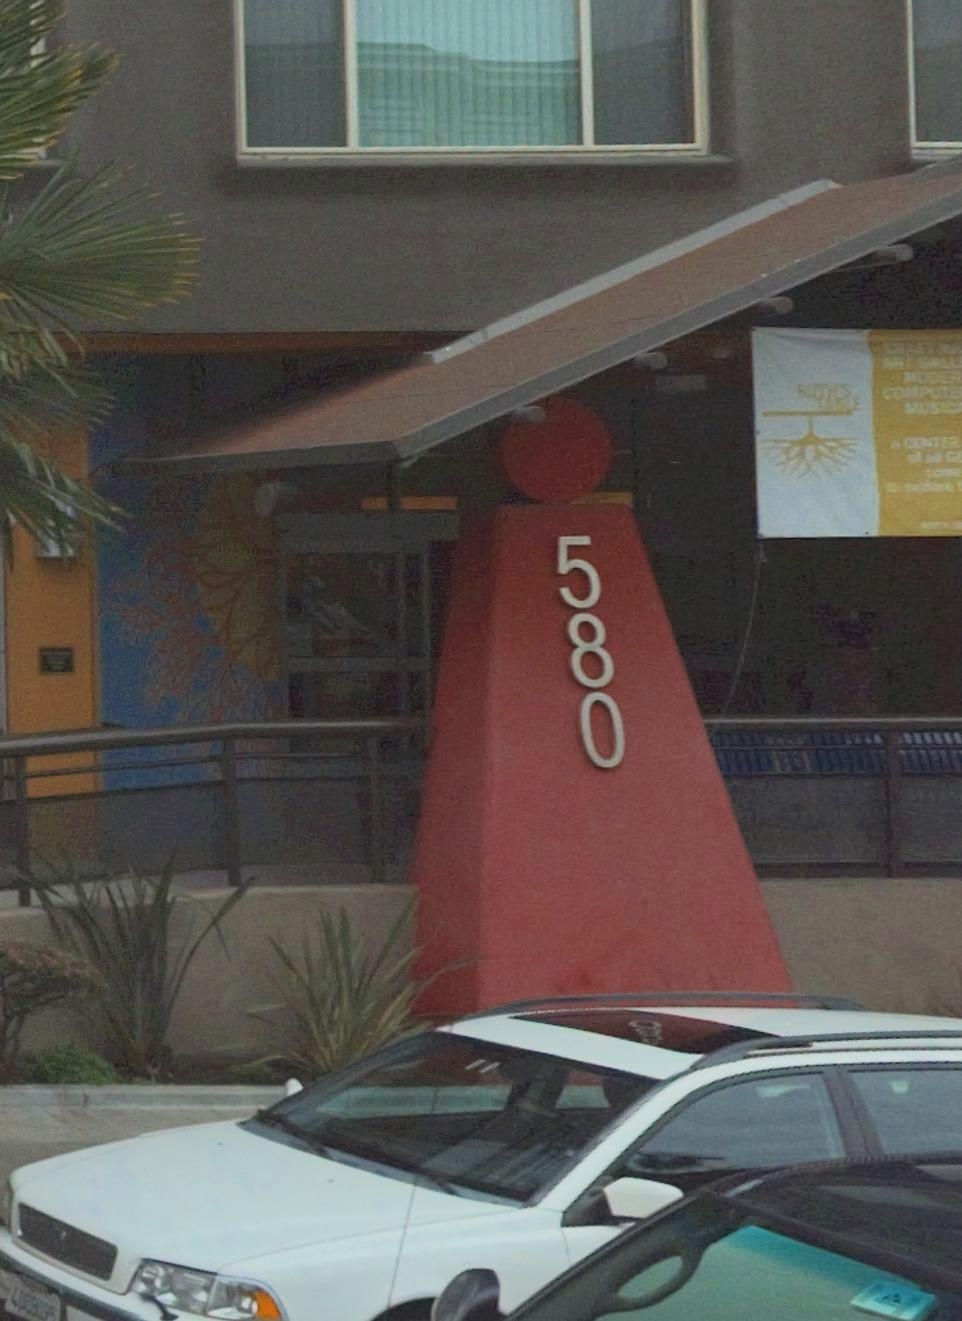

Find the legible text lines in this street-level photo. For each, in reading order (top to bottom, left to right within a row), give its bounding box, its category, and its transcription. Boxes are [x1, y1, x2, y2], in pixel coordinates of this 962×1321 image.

[796, 383, 852, 399] None: RUTH'S
[881, 385, 960, 401] None: COMPUTE
[814, 397, 863, 412] None: TABLE
[903, 400, 958, 416] None: MUSIC
[902, 435, 960, 450] None: CENTER
[550, 532, 635, 777] StreetNumber: 580